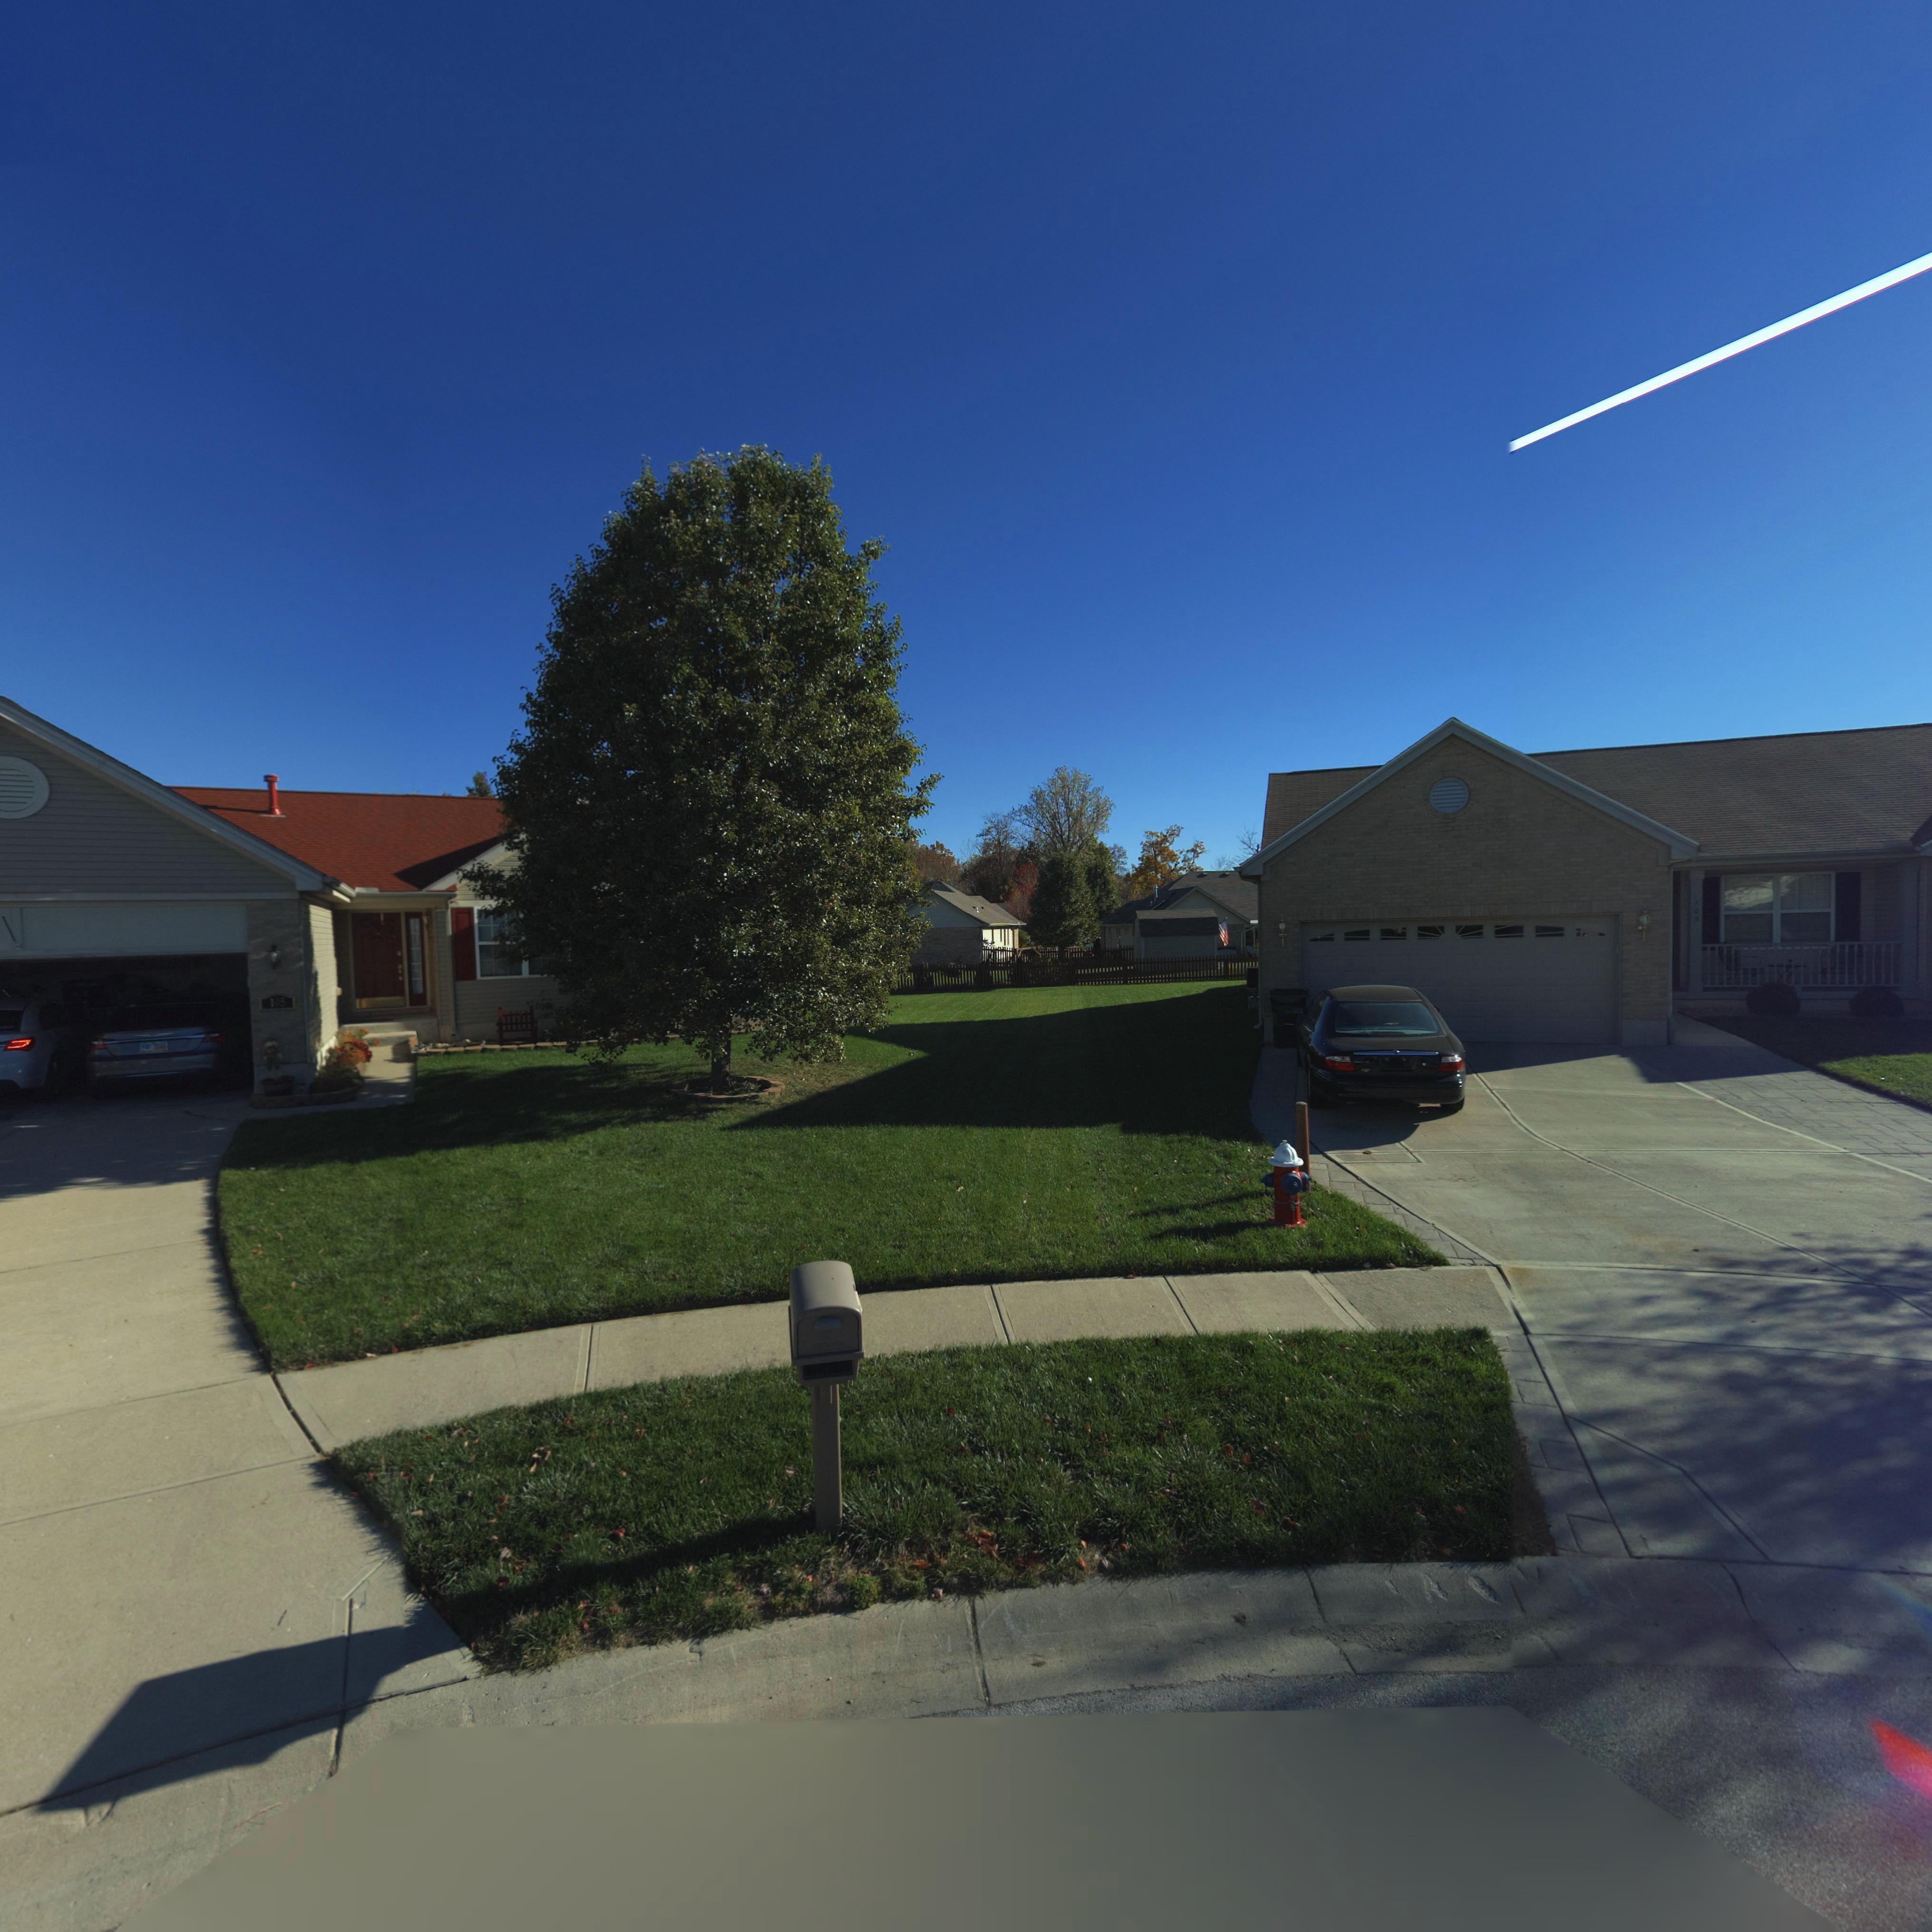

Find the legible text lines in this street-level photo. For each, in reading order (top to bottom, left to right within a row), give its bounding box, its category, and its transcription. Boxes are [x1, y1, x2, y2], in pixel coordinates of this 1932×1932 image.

[1693, 899, 1699, 923] StreetNumber: 103
[270, 997, 286, 1007] StreetNumber: 105